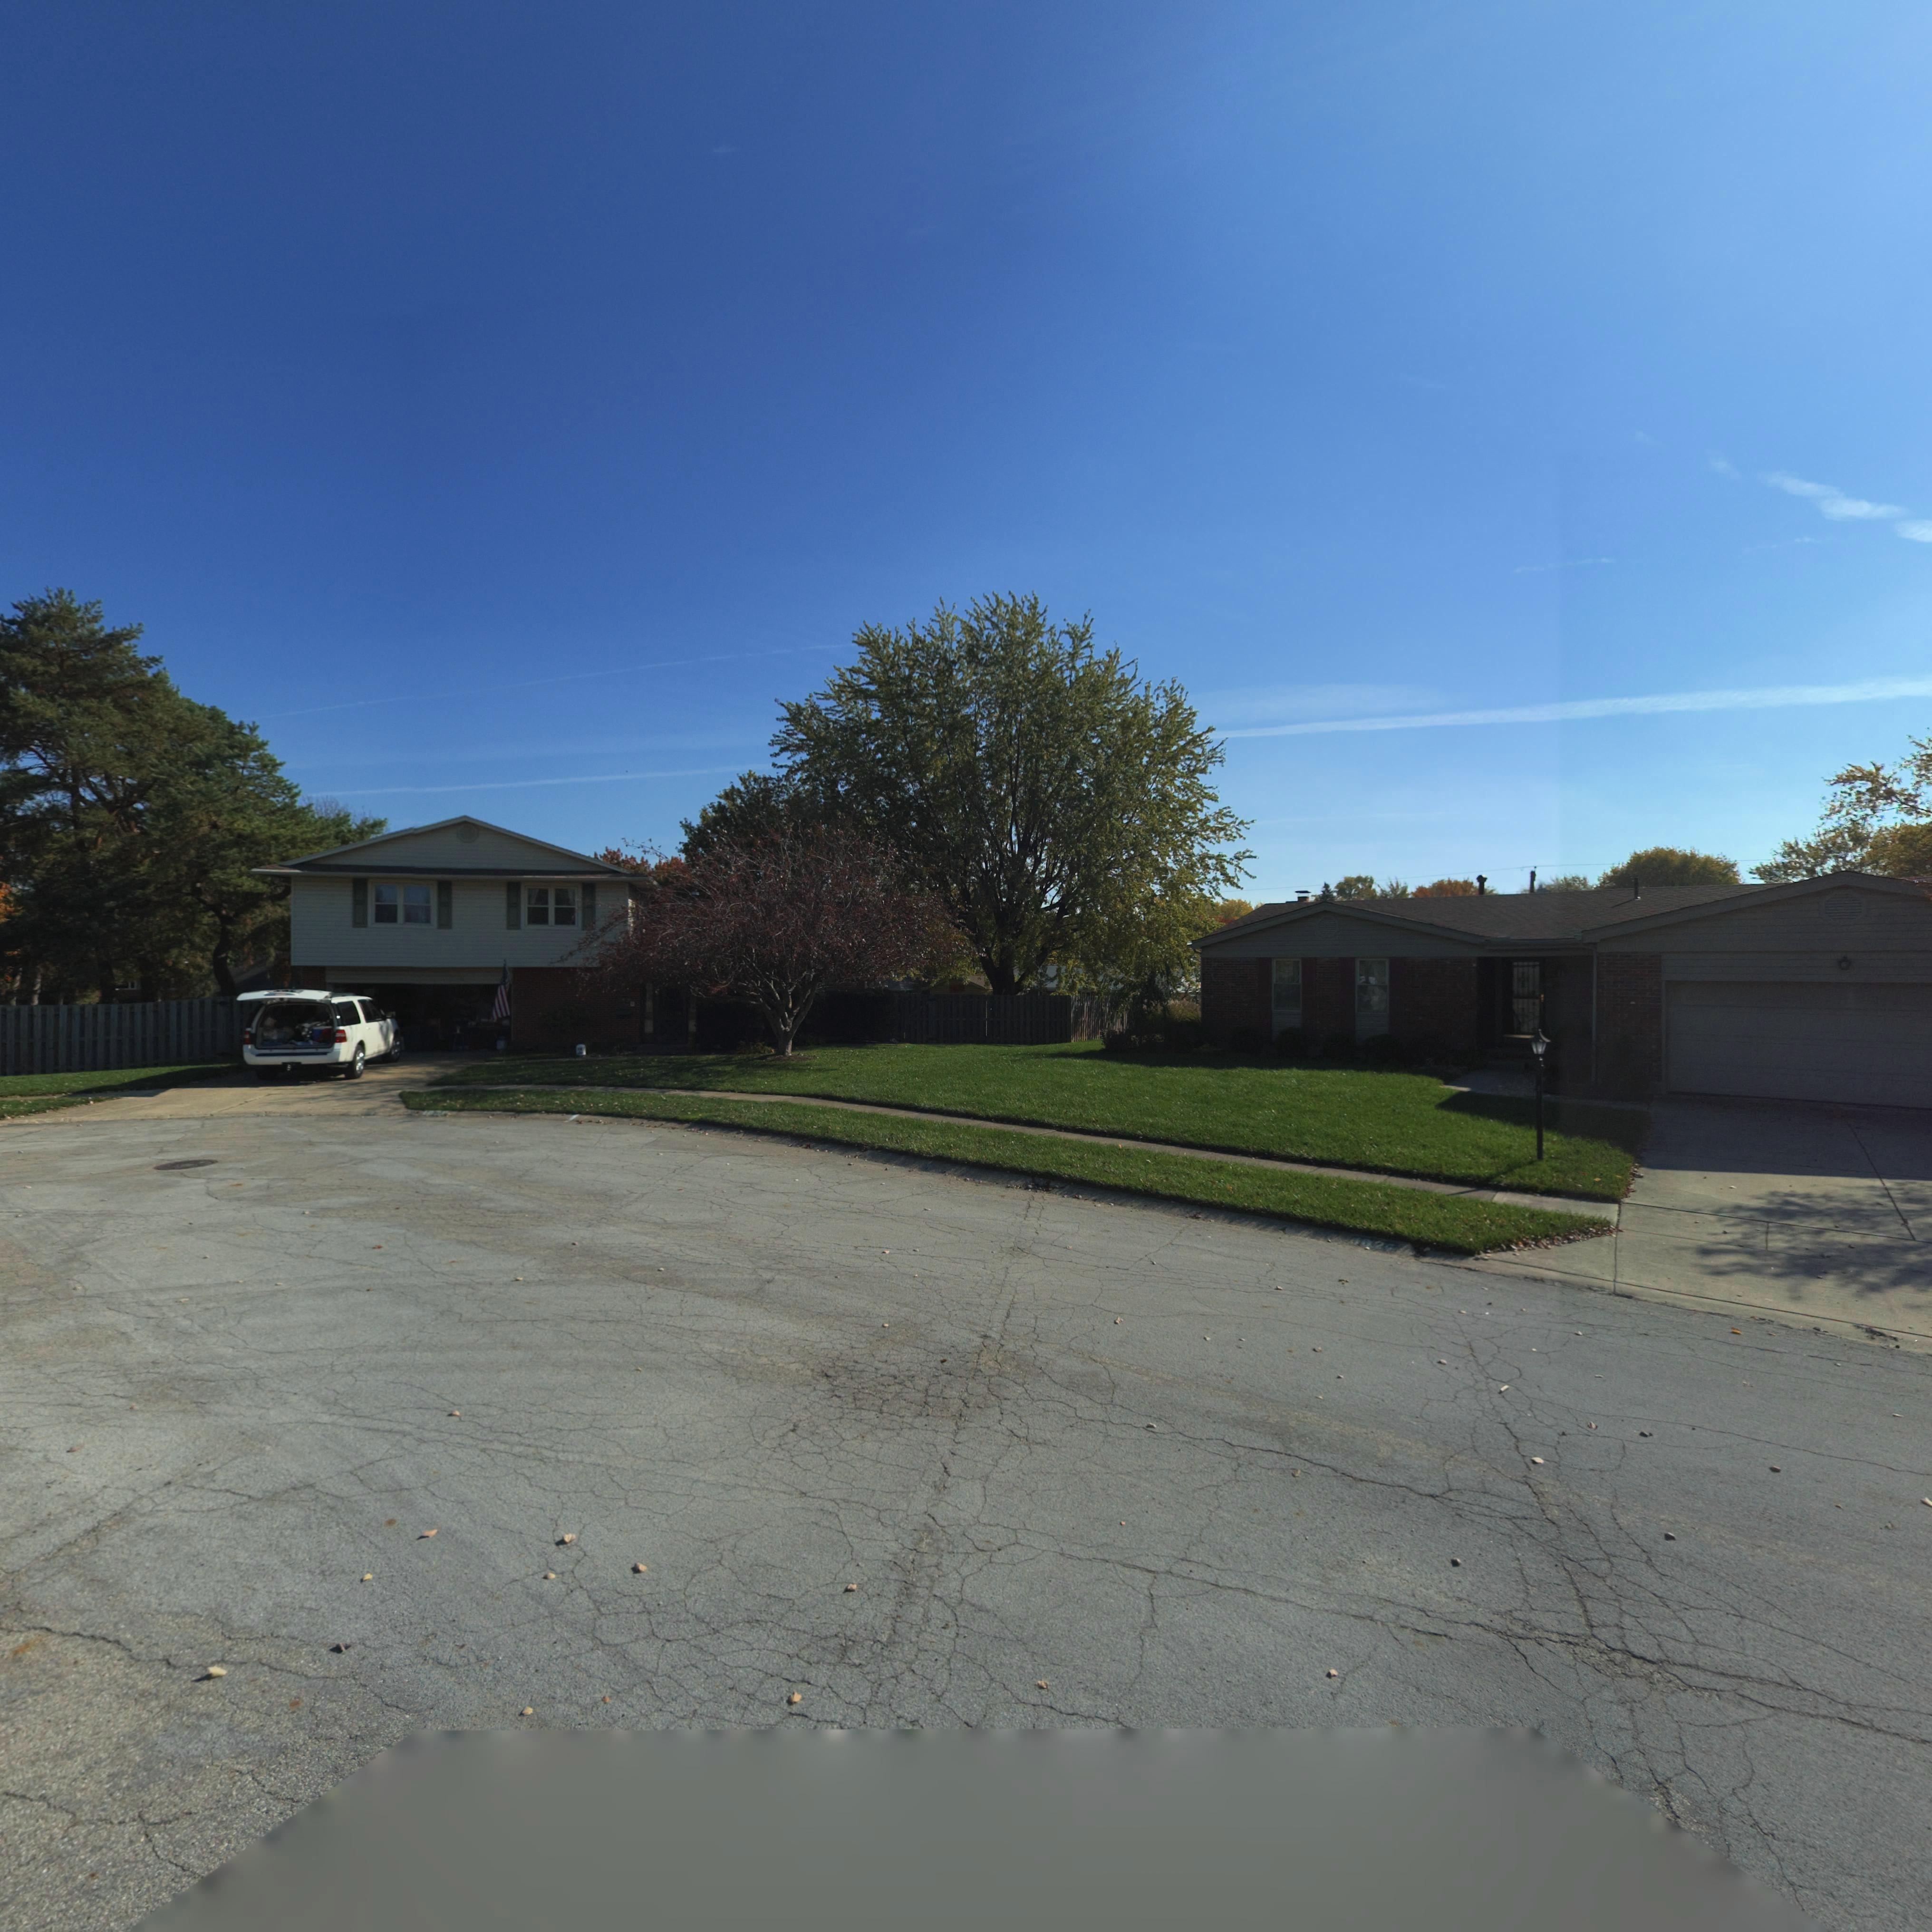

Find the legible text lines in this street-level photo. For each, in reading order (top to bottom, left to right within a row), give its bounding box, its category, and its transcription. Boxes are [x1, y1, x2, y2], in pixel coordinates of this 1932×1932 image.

[1351, 1236, 1397, 1253] StreetNumber: 1024